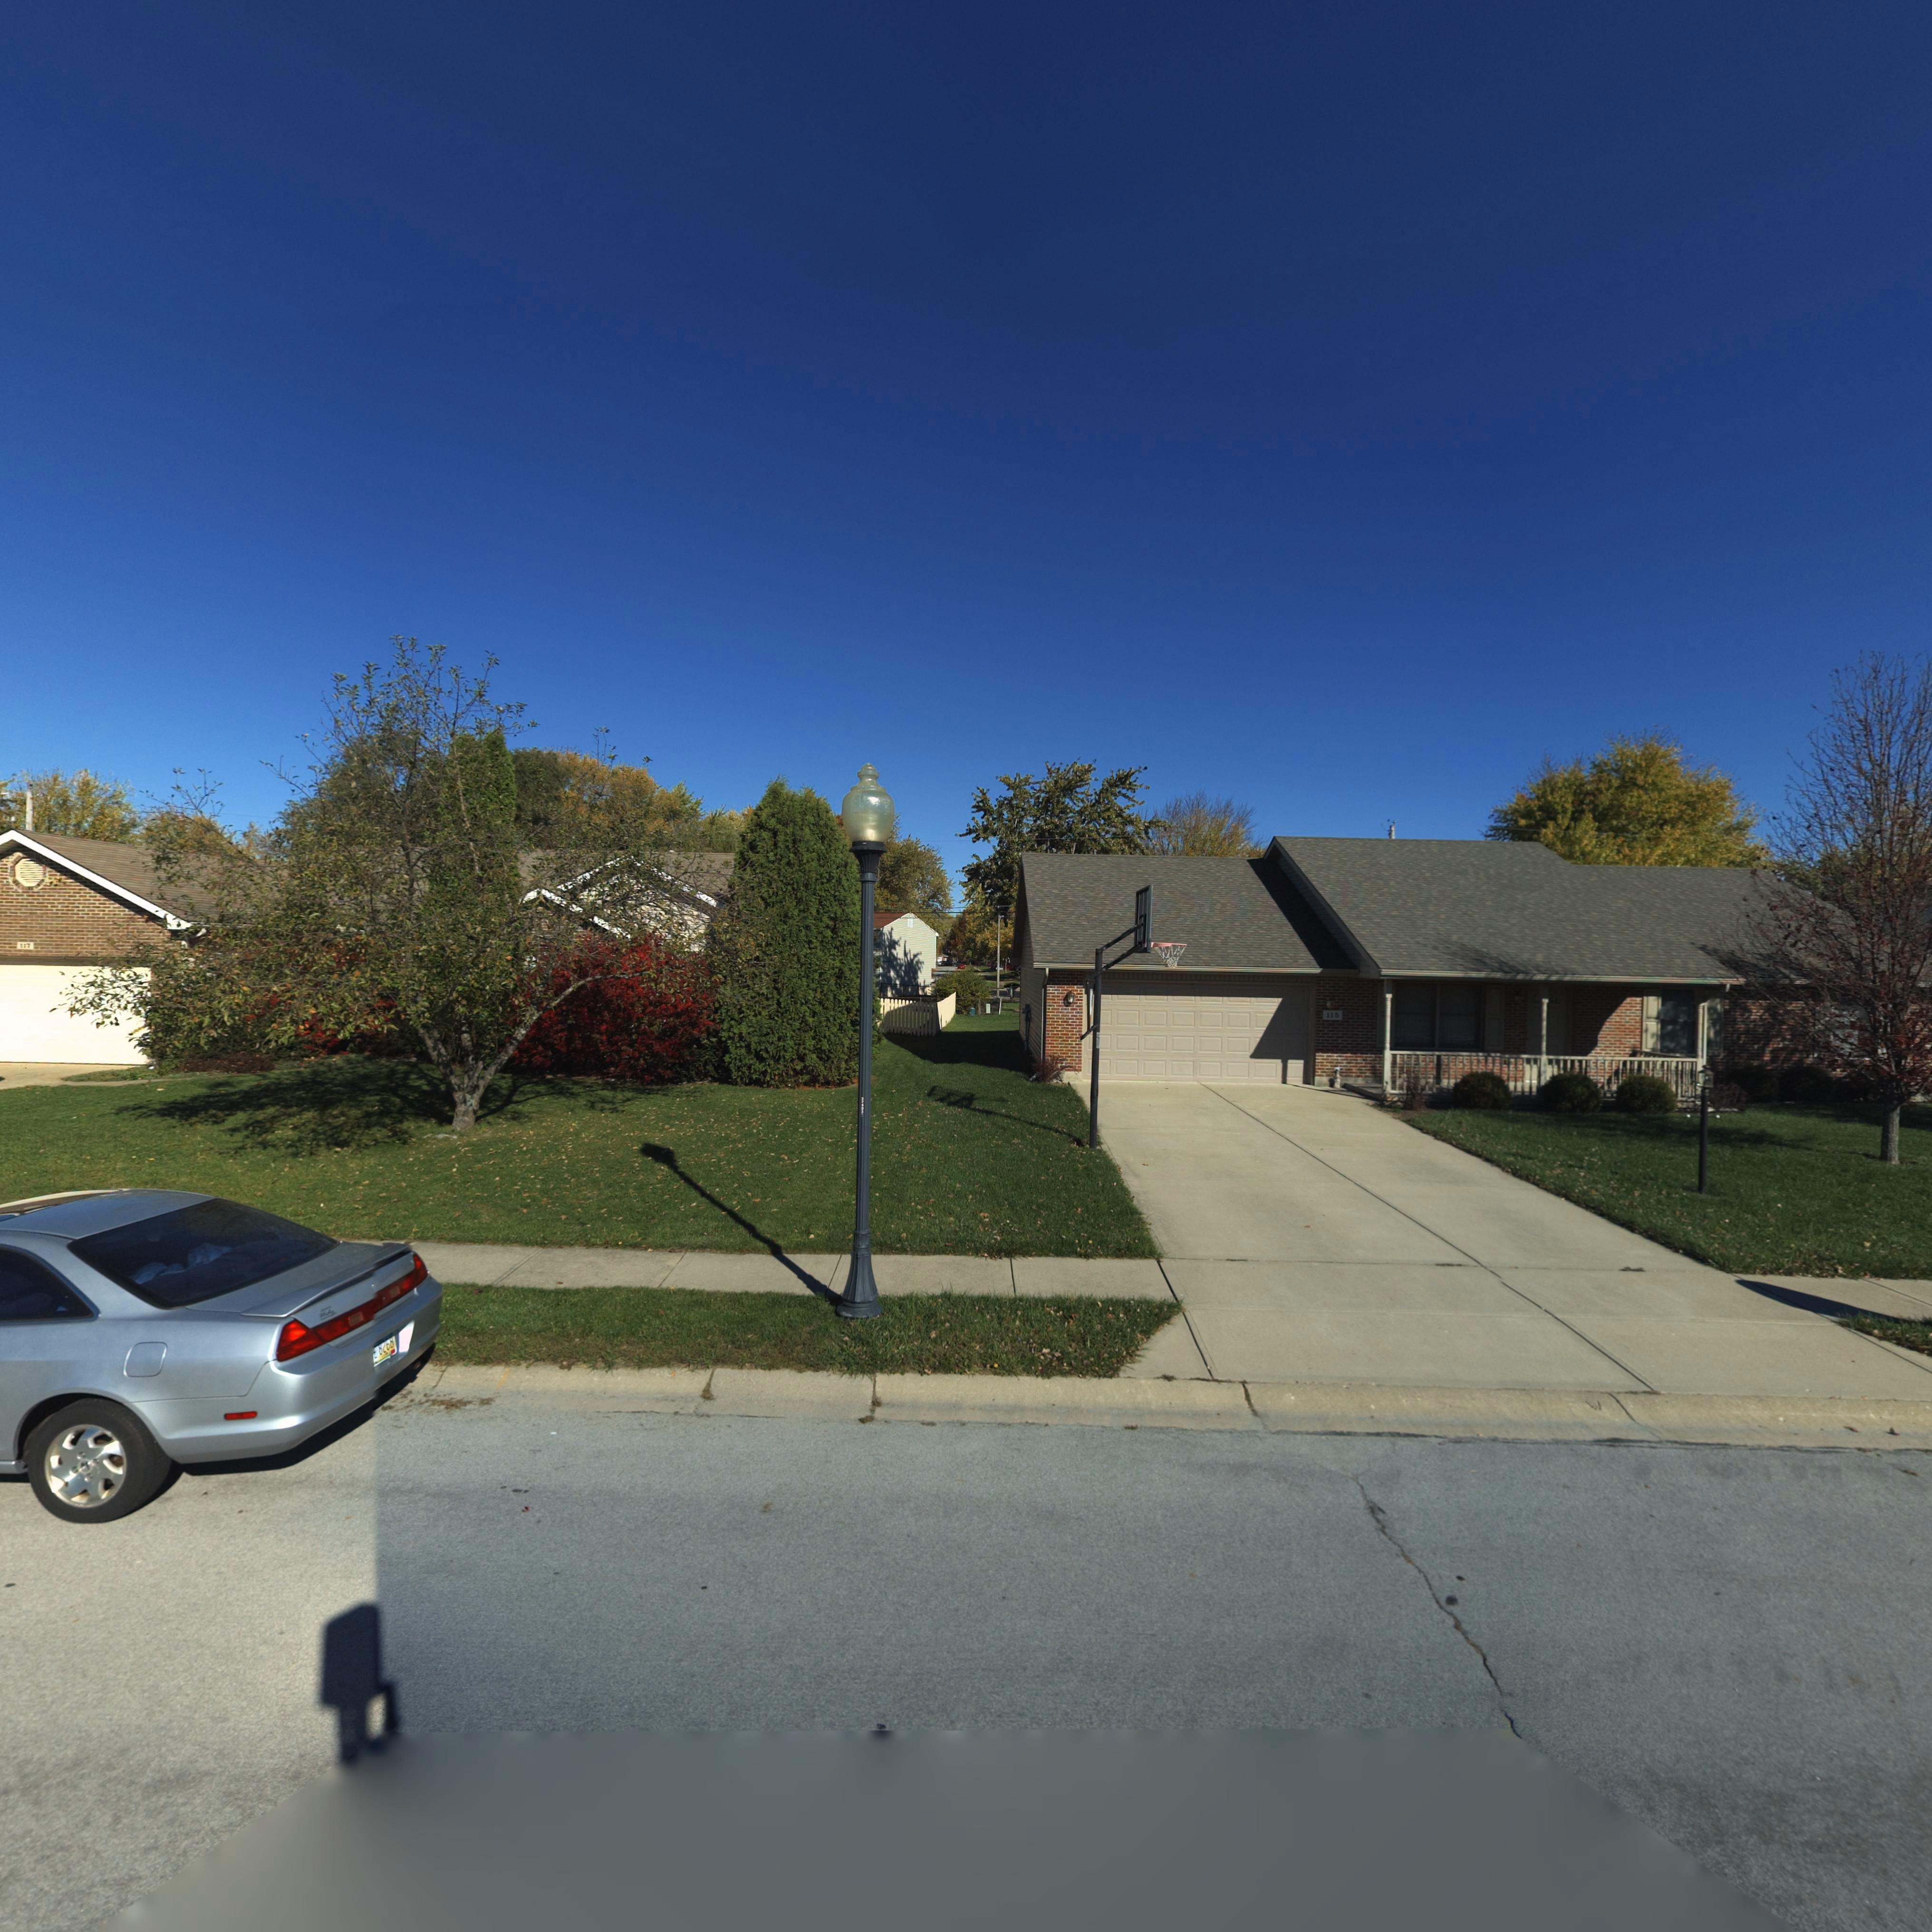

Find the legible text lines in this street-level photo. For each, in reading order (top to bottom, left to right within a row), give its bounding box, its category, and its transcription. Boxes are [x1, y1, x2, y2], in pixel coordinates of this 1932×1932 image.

[19, 943, 31, 948] StreetNumber: 117
[1326, 1012, 1339, 1018] StreetNumber: 115
[377, 1335, 394, 1357] None: 8268